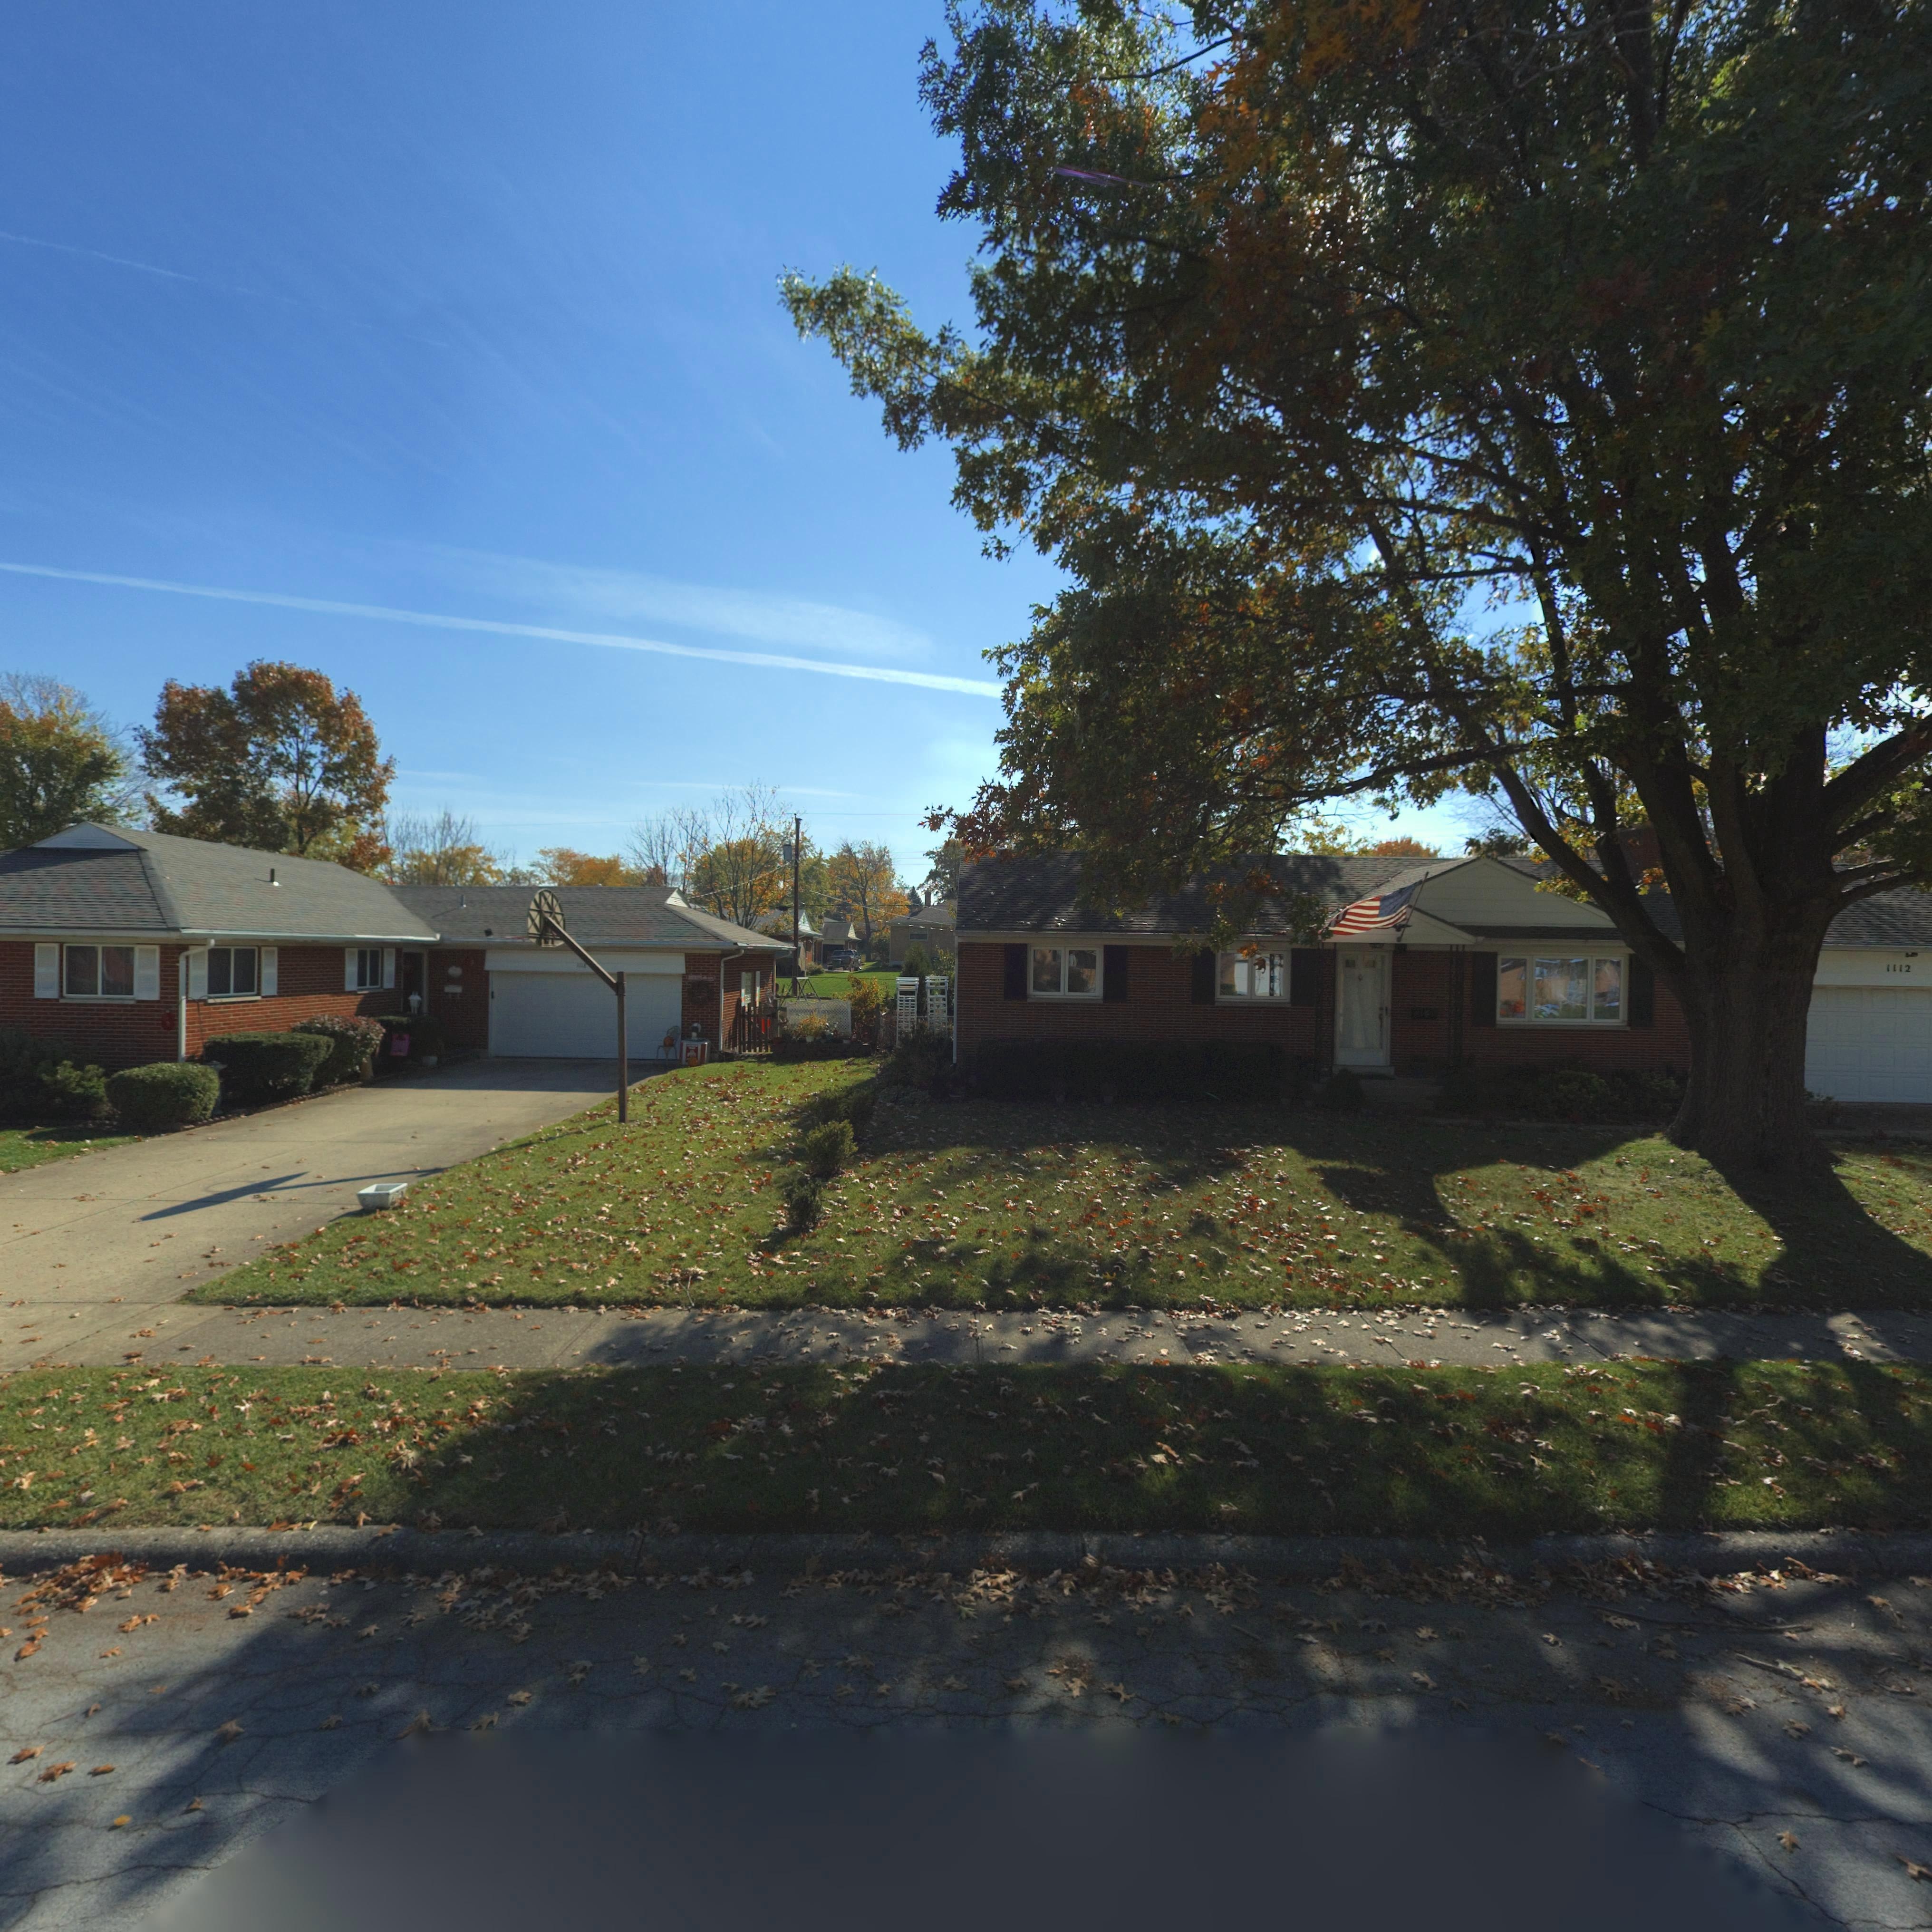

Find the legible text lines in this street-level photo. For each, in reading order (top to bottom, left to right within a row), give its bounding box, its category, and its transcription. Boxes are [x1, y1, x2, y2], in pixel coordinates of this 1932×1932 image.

[575, 962, 588, 967] StreetNumber: 1118
[1885, 964, 1912, 973] StreetNumber: 1112